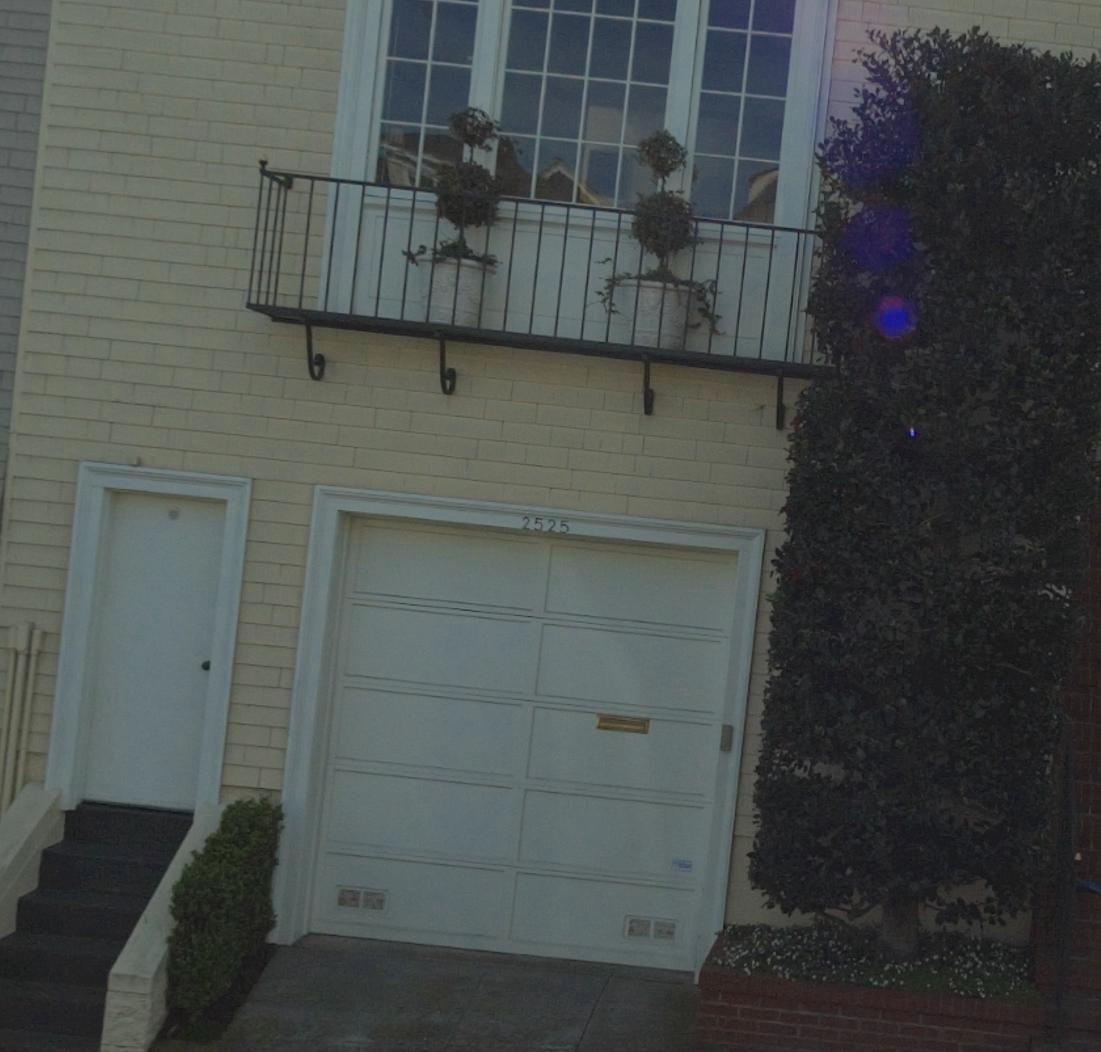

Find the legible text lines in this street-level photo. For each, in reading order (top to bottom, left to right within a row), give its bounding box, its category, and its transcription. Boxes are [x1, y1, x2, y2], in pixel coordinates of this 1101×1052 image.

[519, 514, 571, 537] StreetNumber: 2525